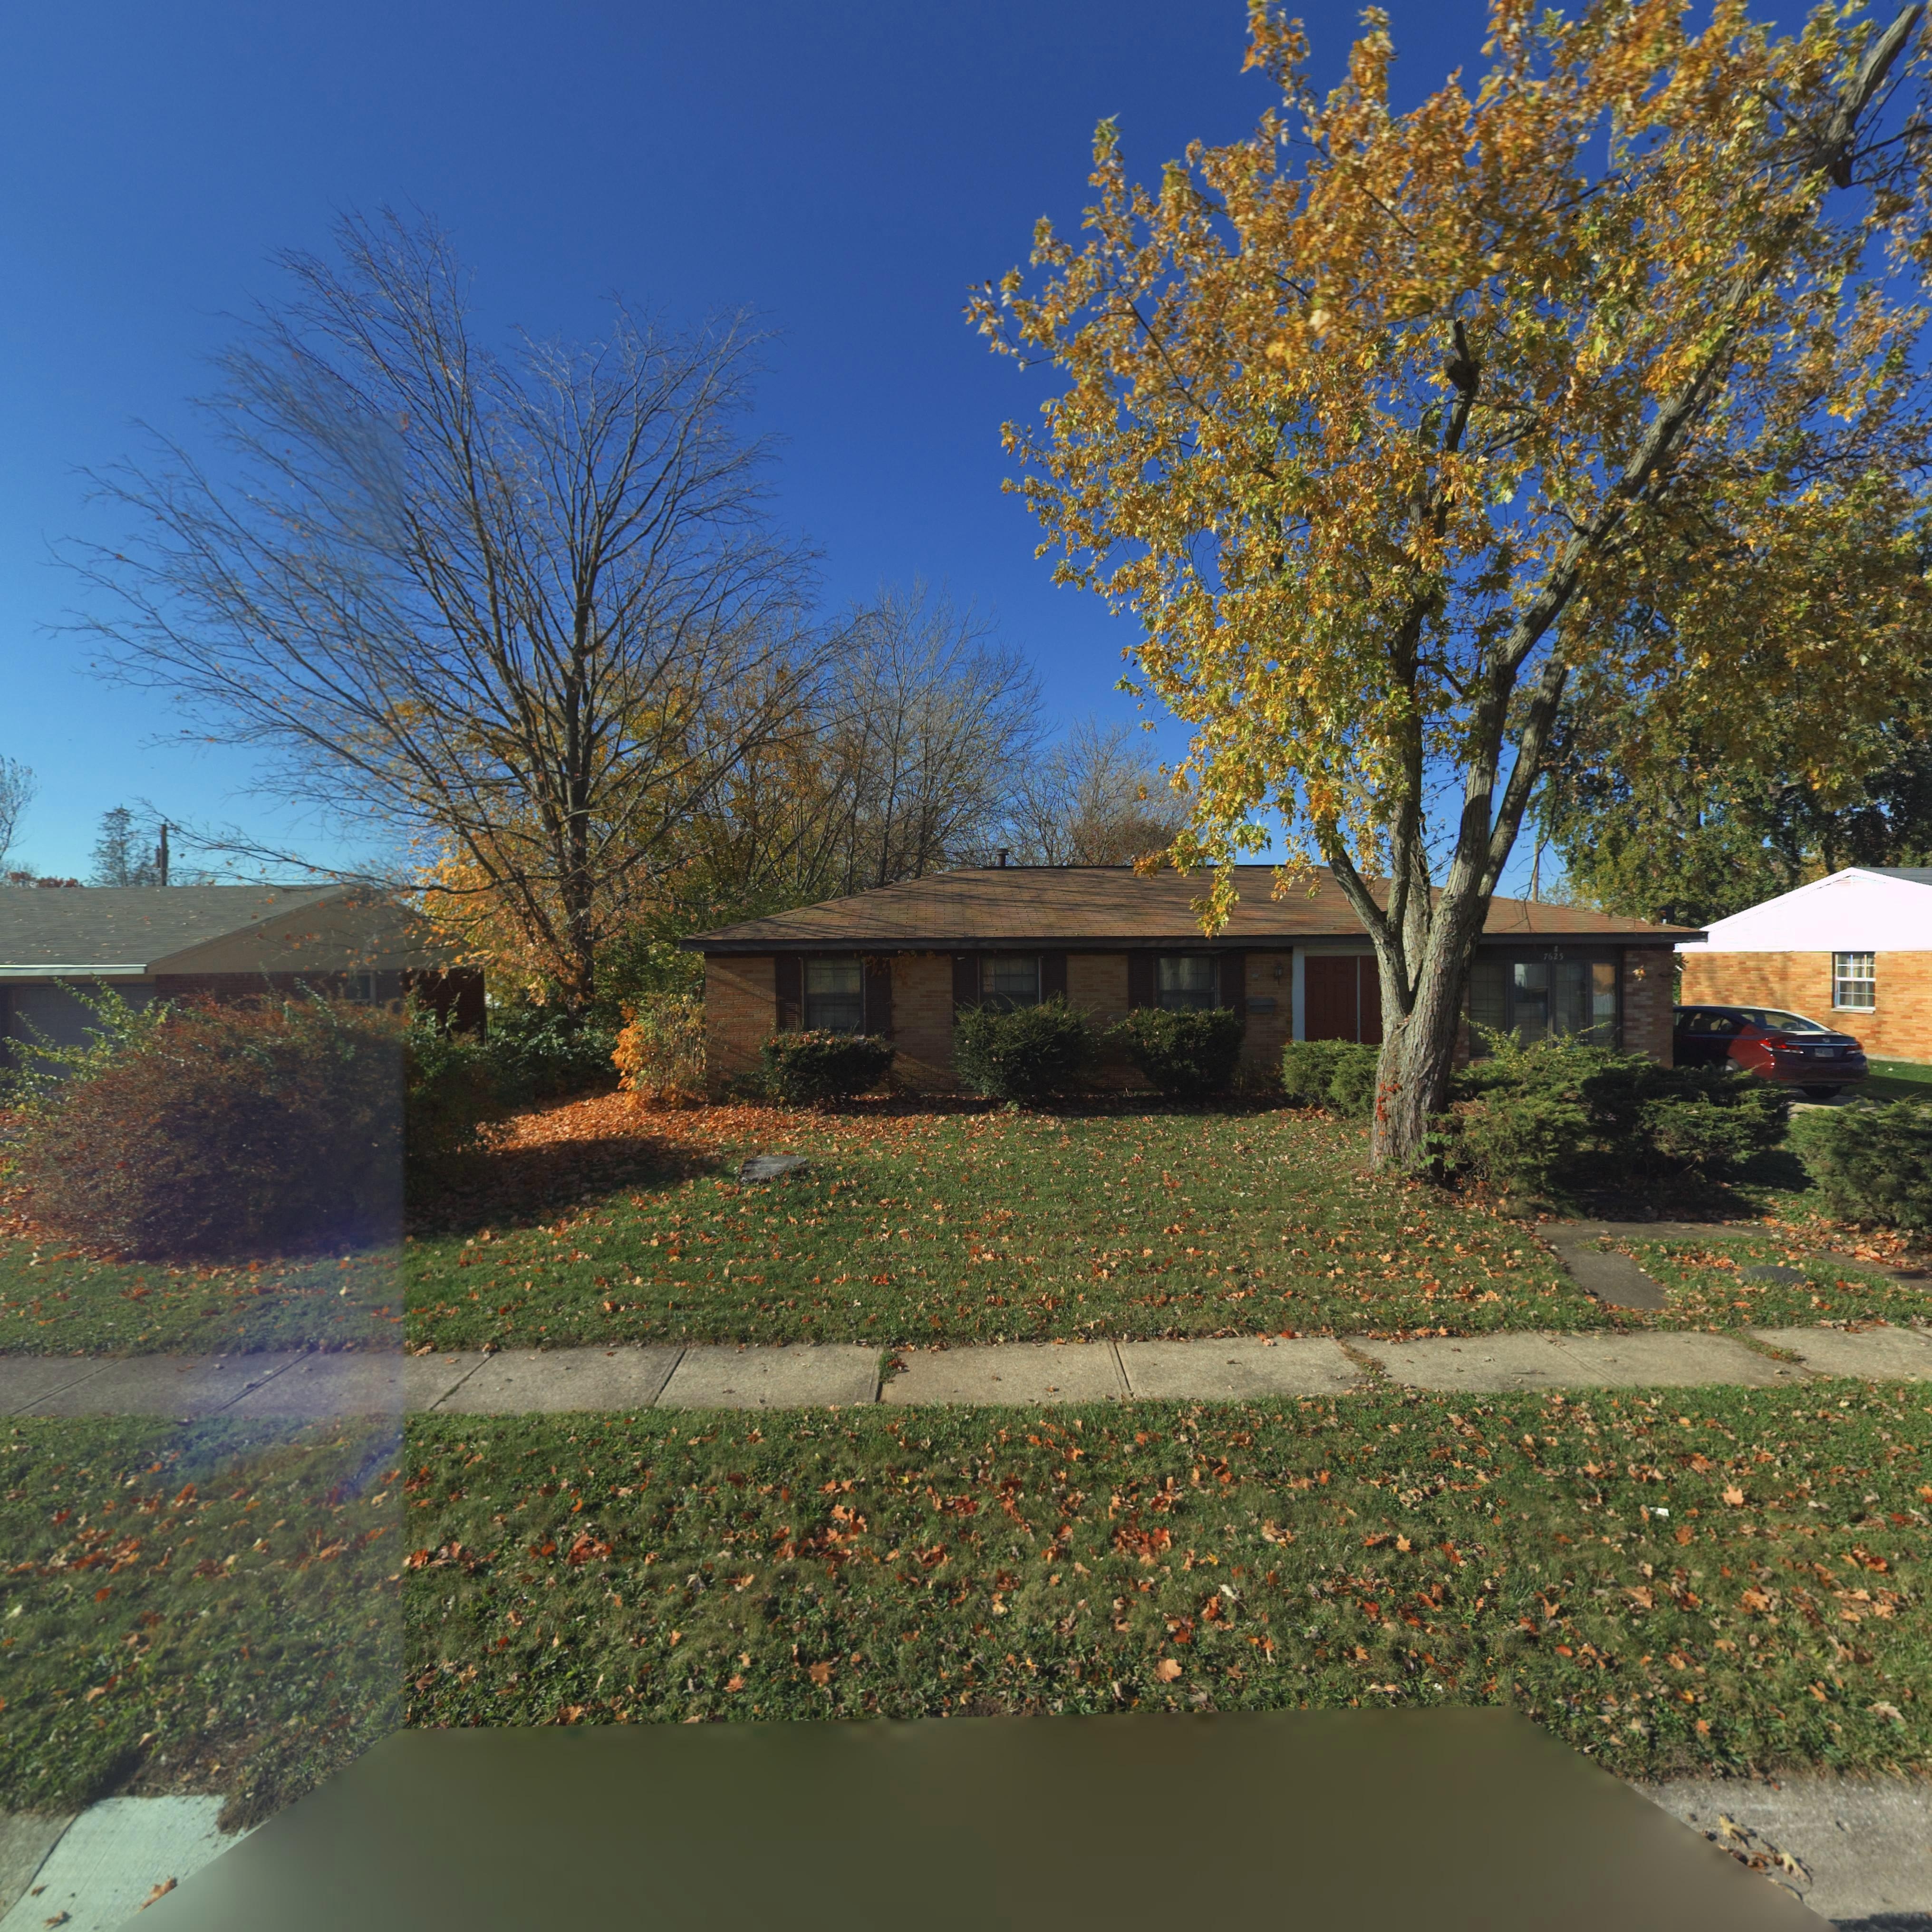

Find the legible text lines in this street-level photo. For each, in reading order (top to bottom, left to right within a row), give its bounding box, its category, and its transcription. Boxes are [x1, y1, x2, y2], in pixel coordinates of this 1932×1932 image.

[1543, 952, 1565, 962] StreetNumber: 7625